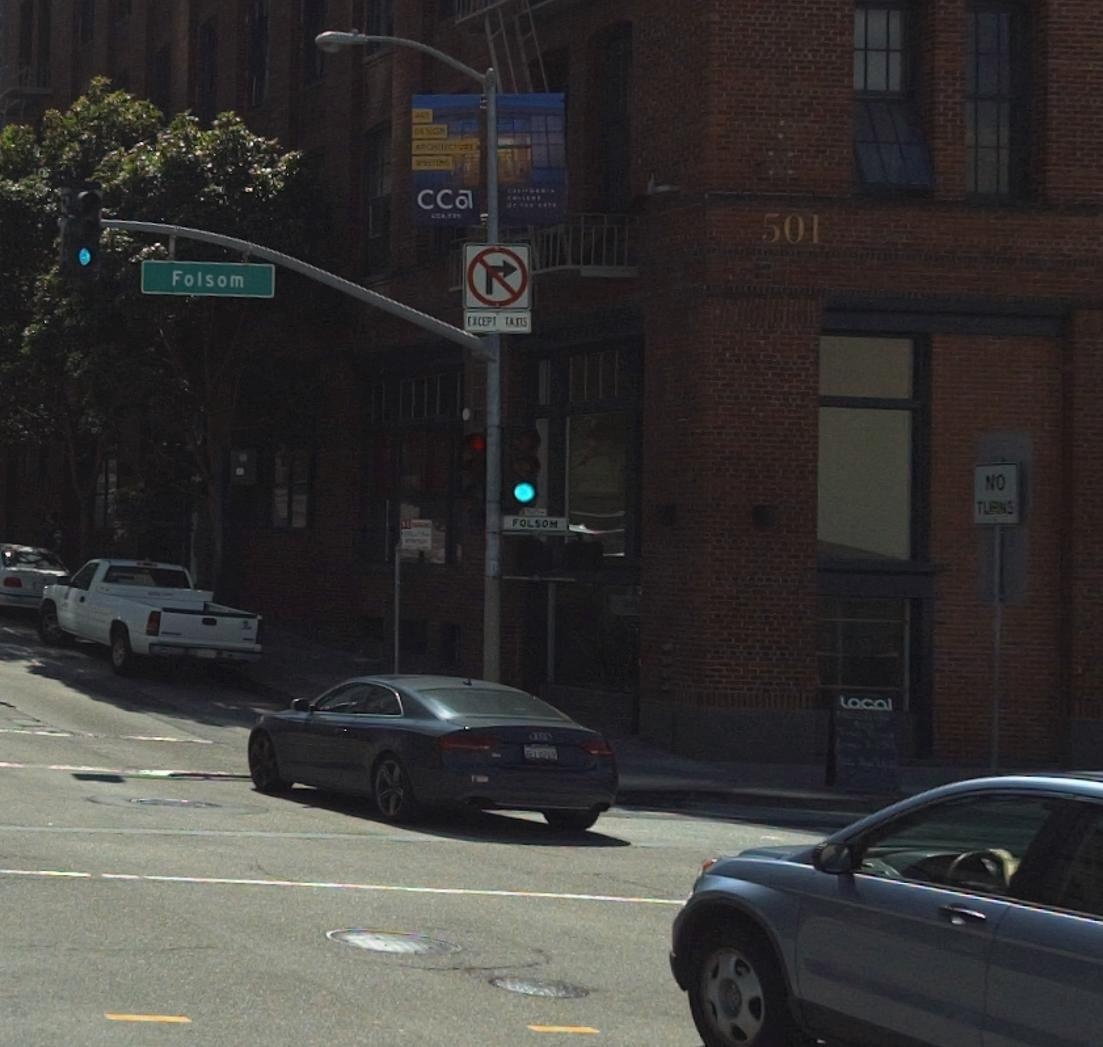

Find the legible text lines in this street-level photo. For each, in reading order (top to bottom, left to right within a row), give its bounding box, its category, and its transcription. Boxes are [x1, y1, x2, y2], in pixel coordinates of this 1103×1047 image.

[416, 187, 474, 211] None: CC*
[760, 211, 822, 246] StreetNumber: 501
[169, 269, 245, 288] StreetName: Folsom
[466, 315, 528, 328] None: EXCEPT TAXIS
[984, 474, 1007, 492] None: NO
[976, 499, 1015, 515] None: TURNS
[510, 517, 559, 530] StreetName: FOLSOM
[838, 693, 895, 711] None: Local